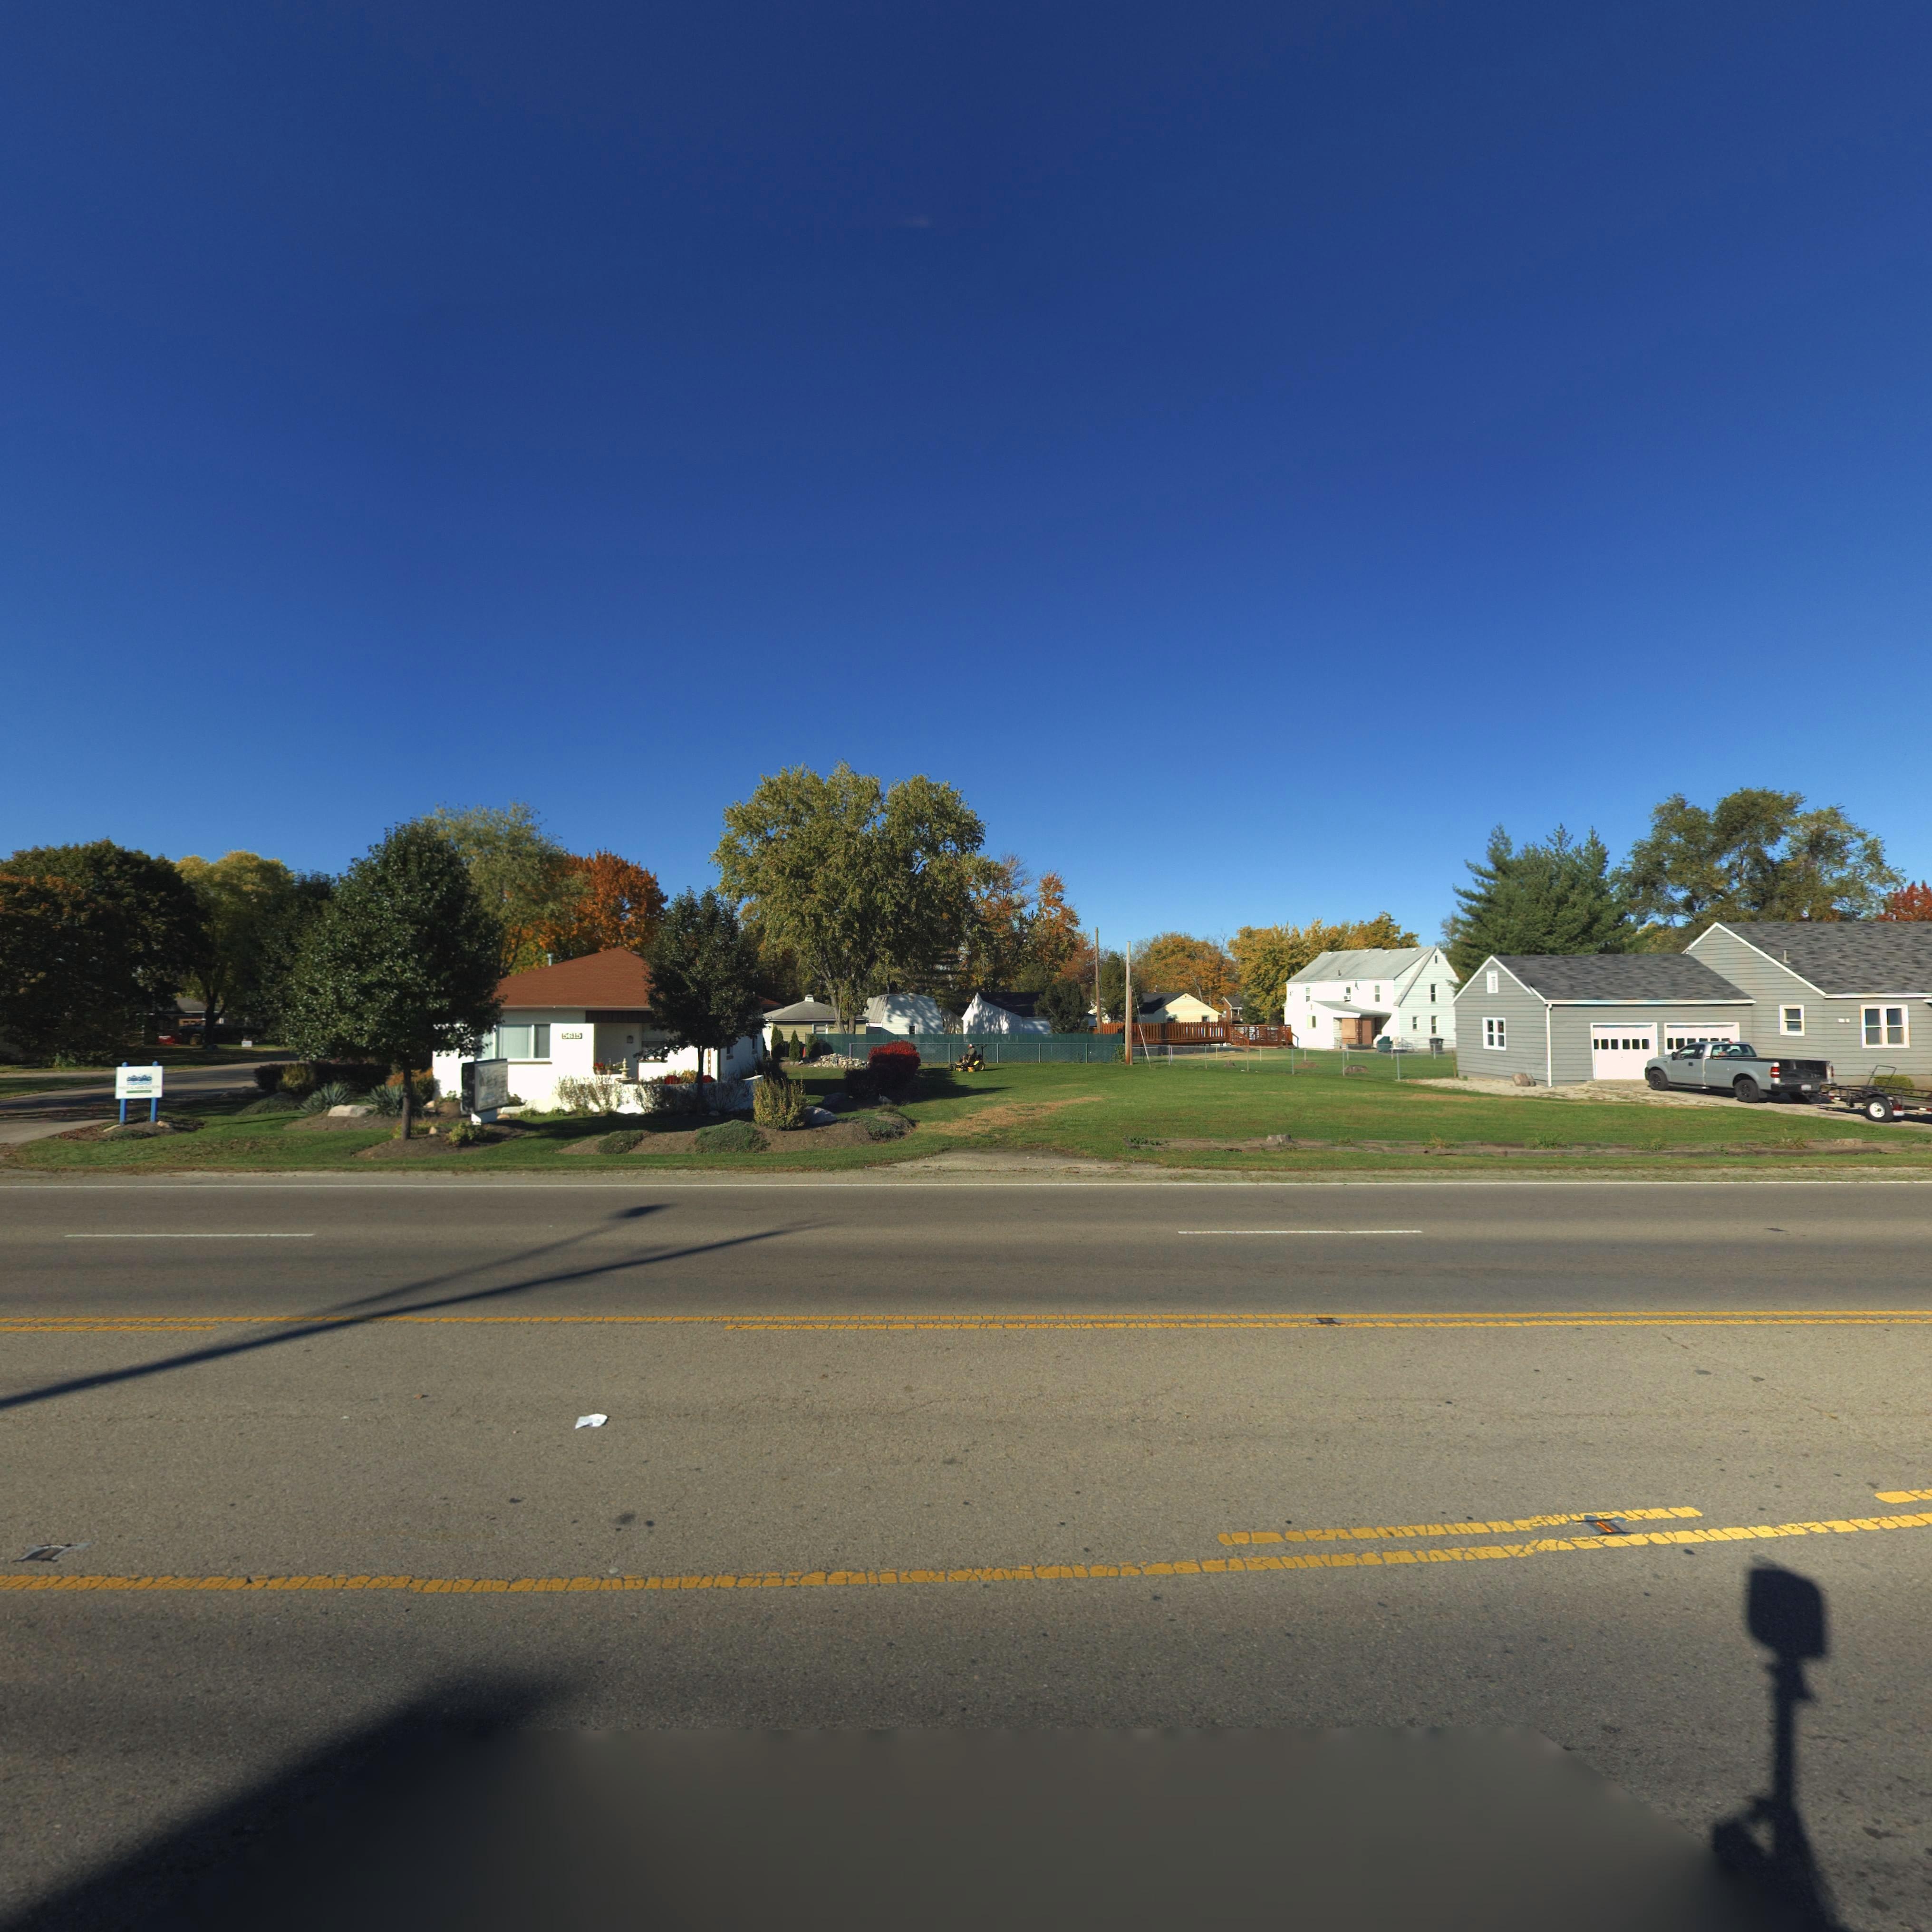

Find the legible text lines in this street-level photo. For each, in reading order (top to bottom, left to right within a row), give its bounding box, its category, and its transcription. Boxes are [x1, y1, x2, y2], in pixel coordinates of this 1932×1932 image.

[562, 1033, 581, 1039] StreetNumber: 5615